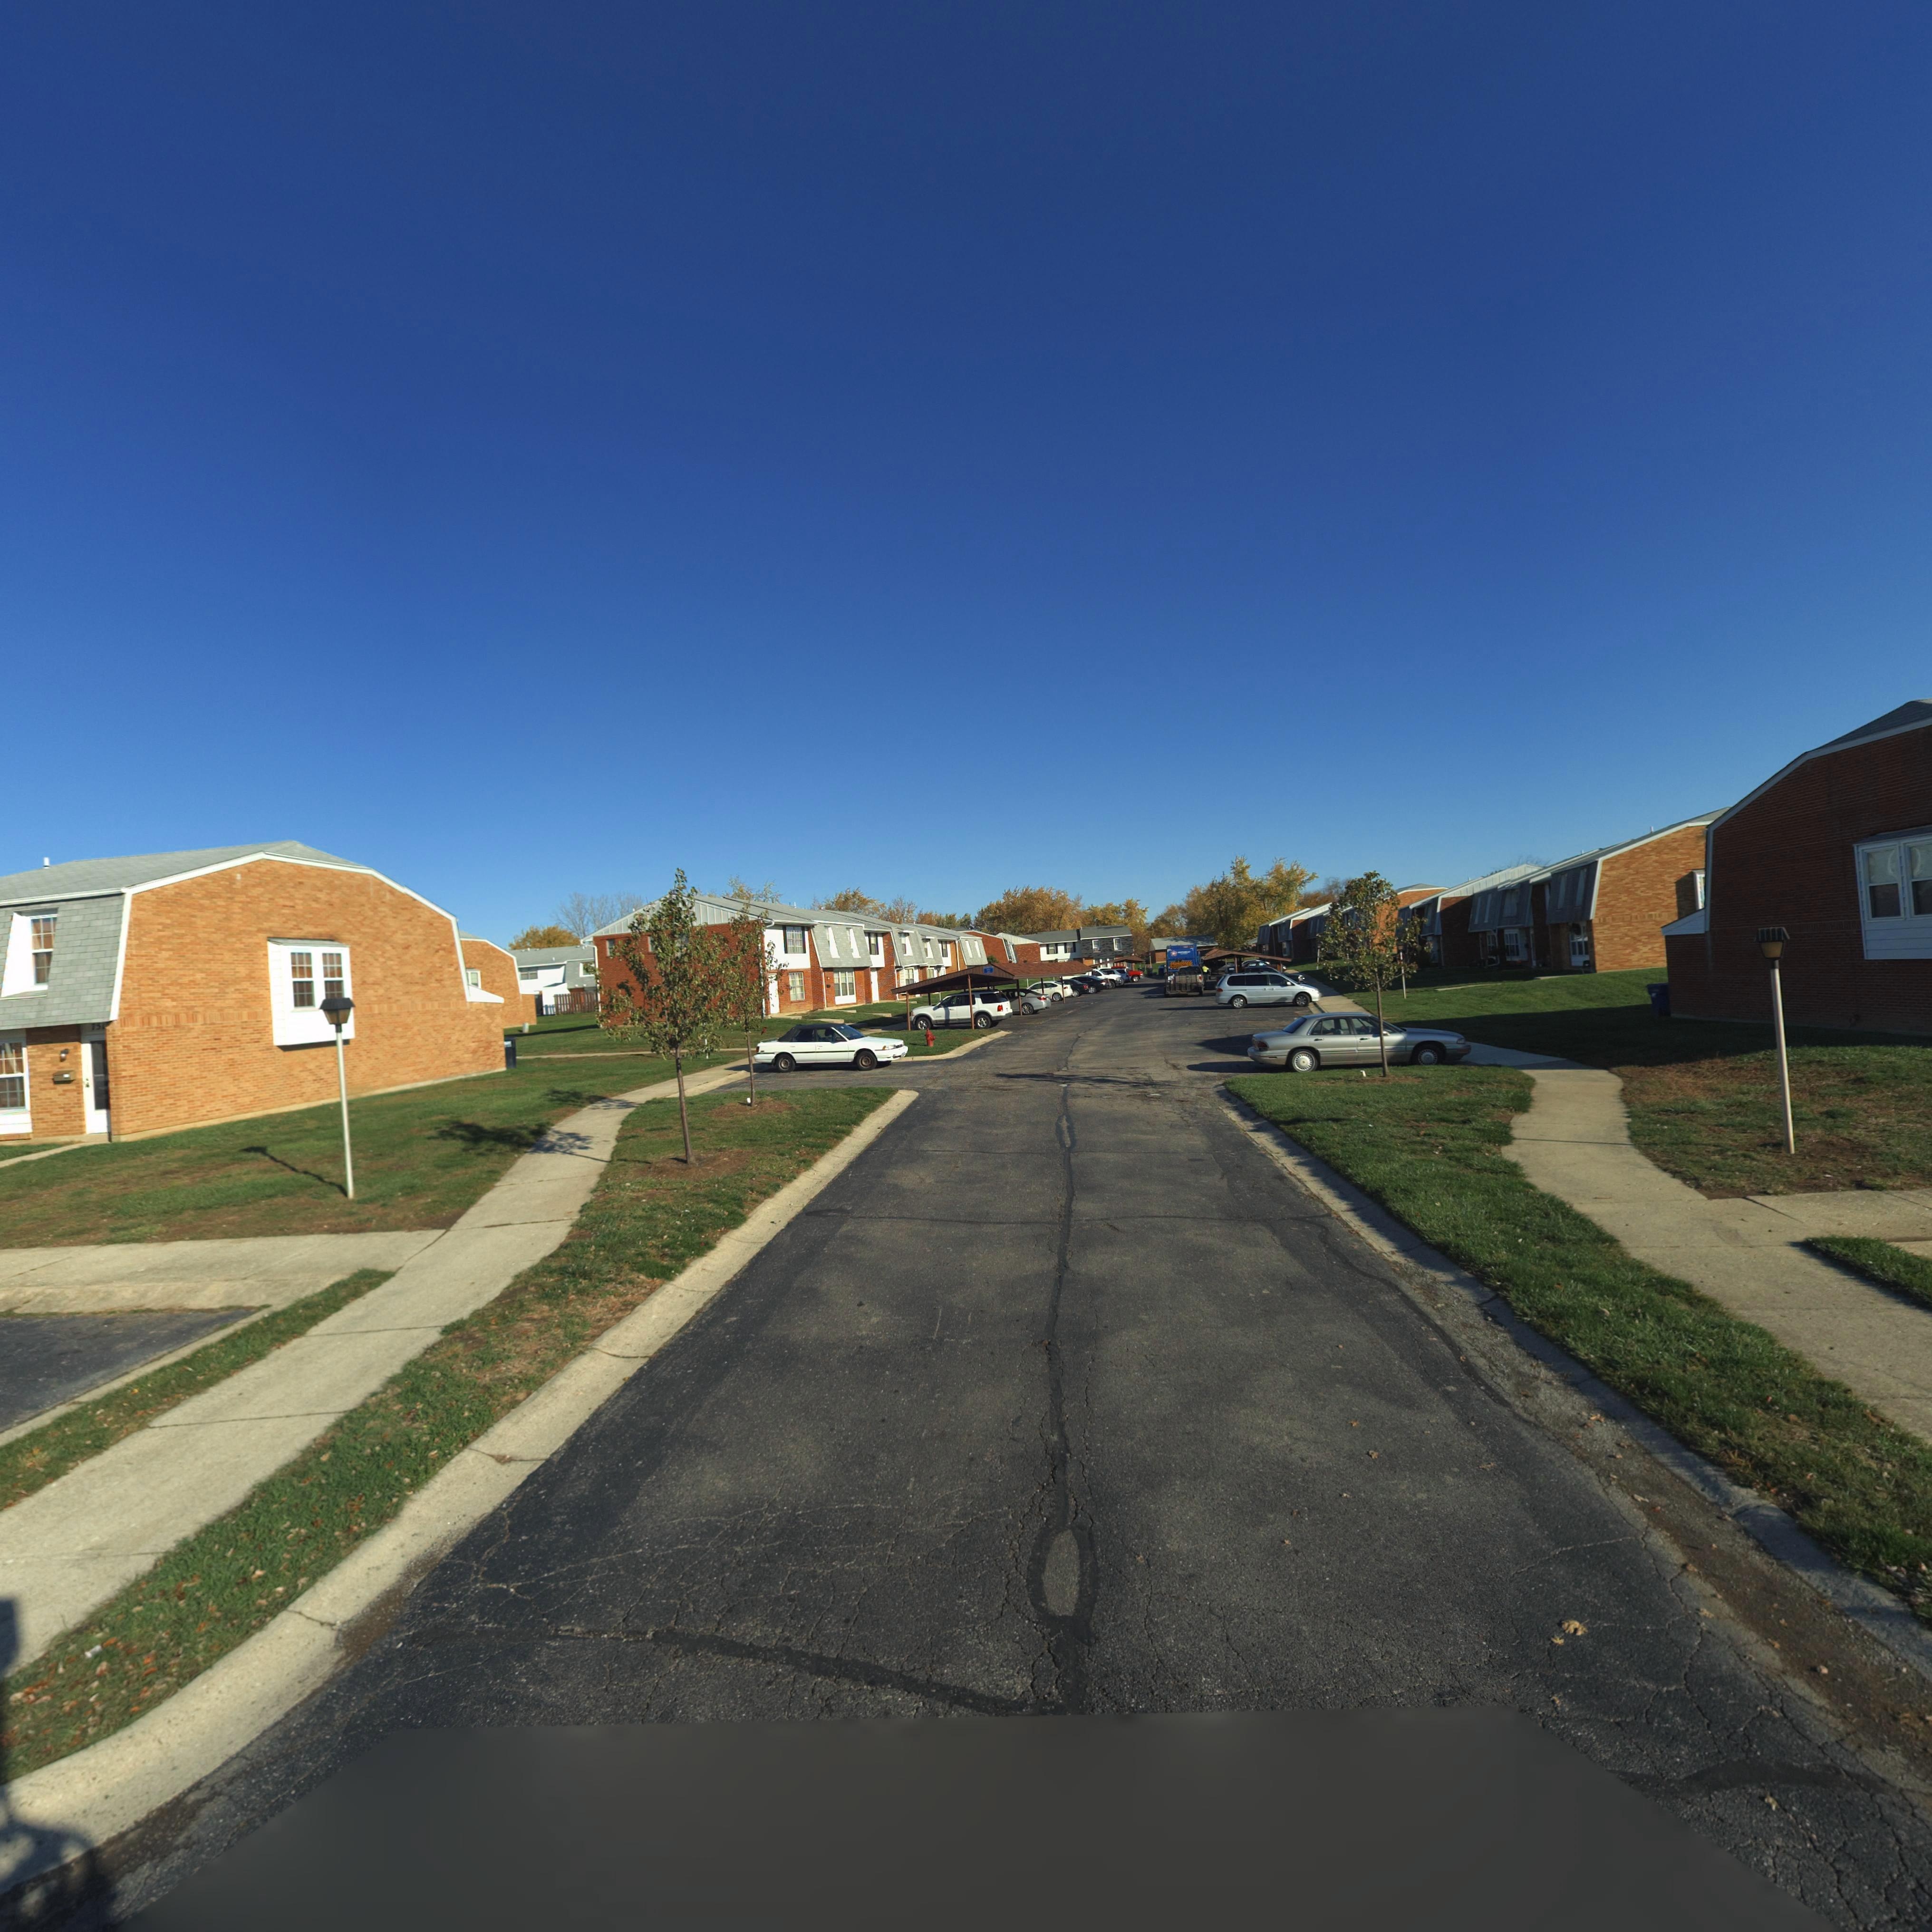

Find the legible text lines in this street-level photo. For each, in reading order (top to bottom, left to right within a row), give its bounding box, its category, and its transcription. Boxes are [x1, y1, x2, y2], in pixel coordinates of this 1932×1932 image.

[90, 1022, 106, 1031] StreetNumber: 751